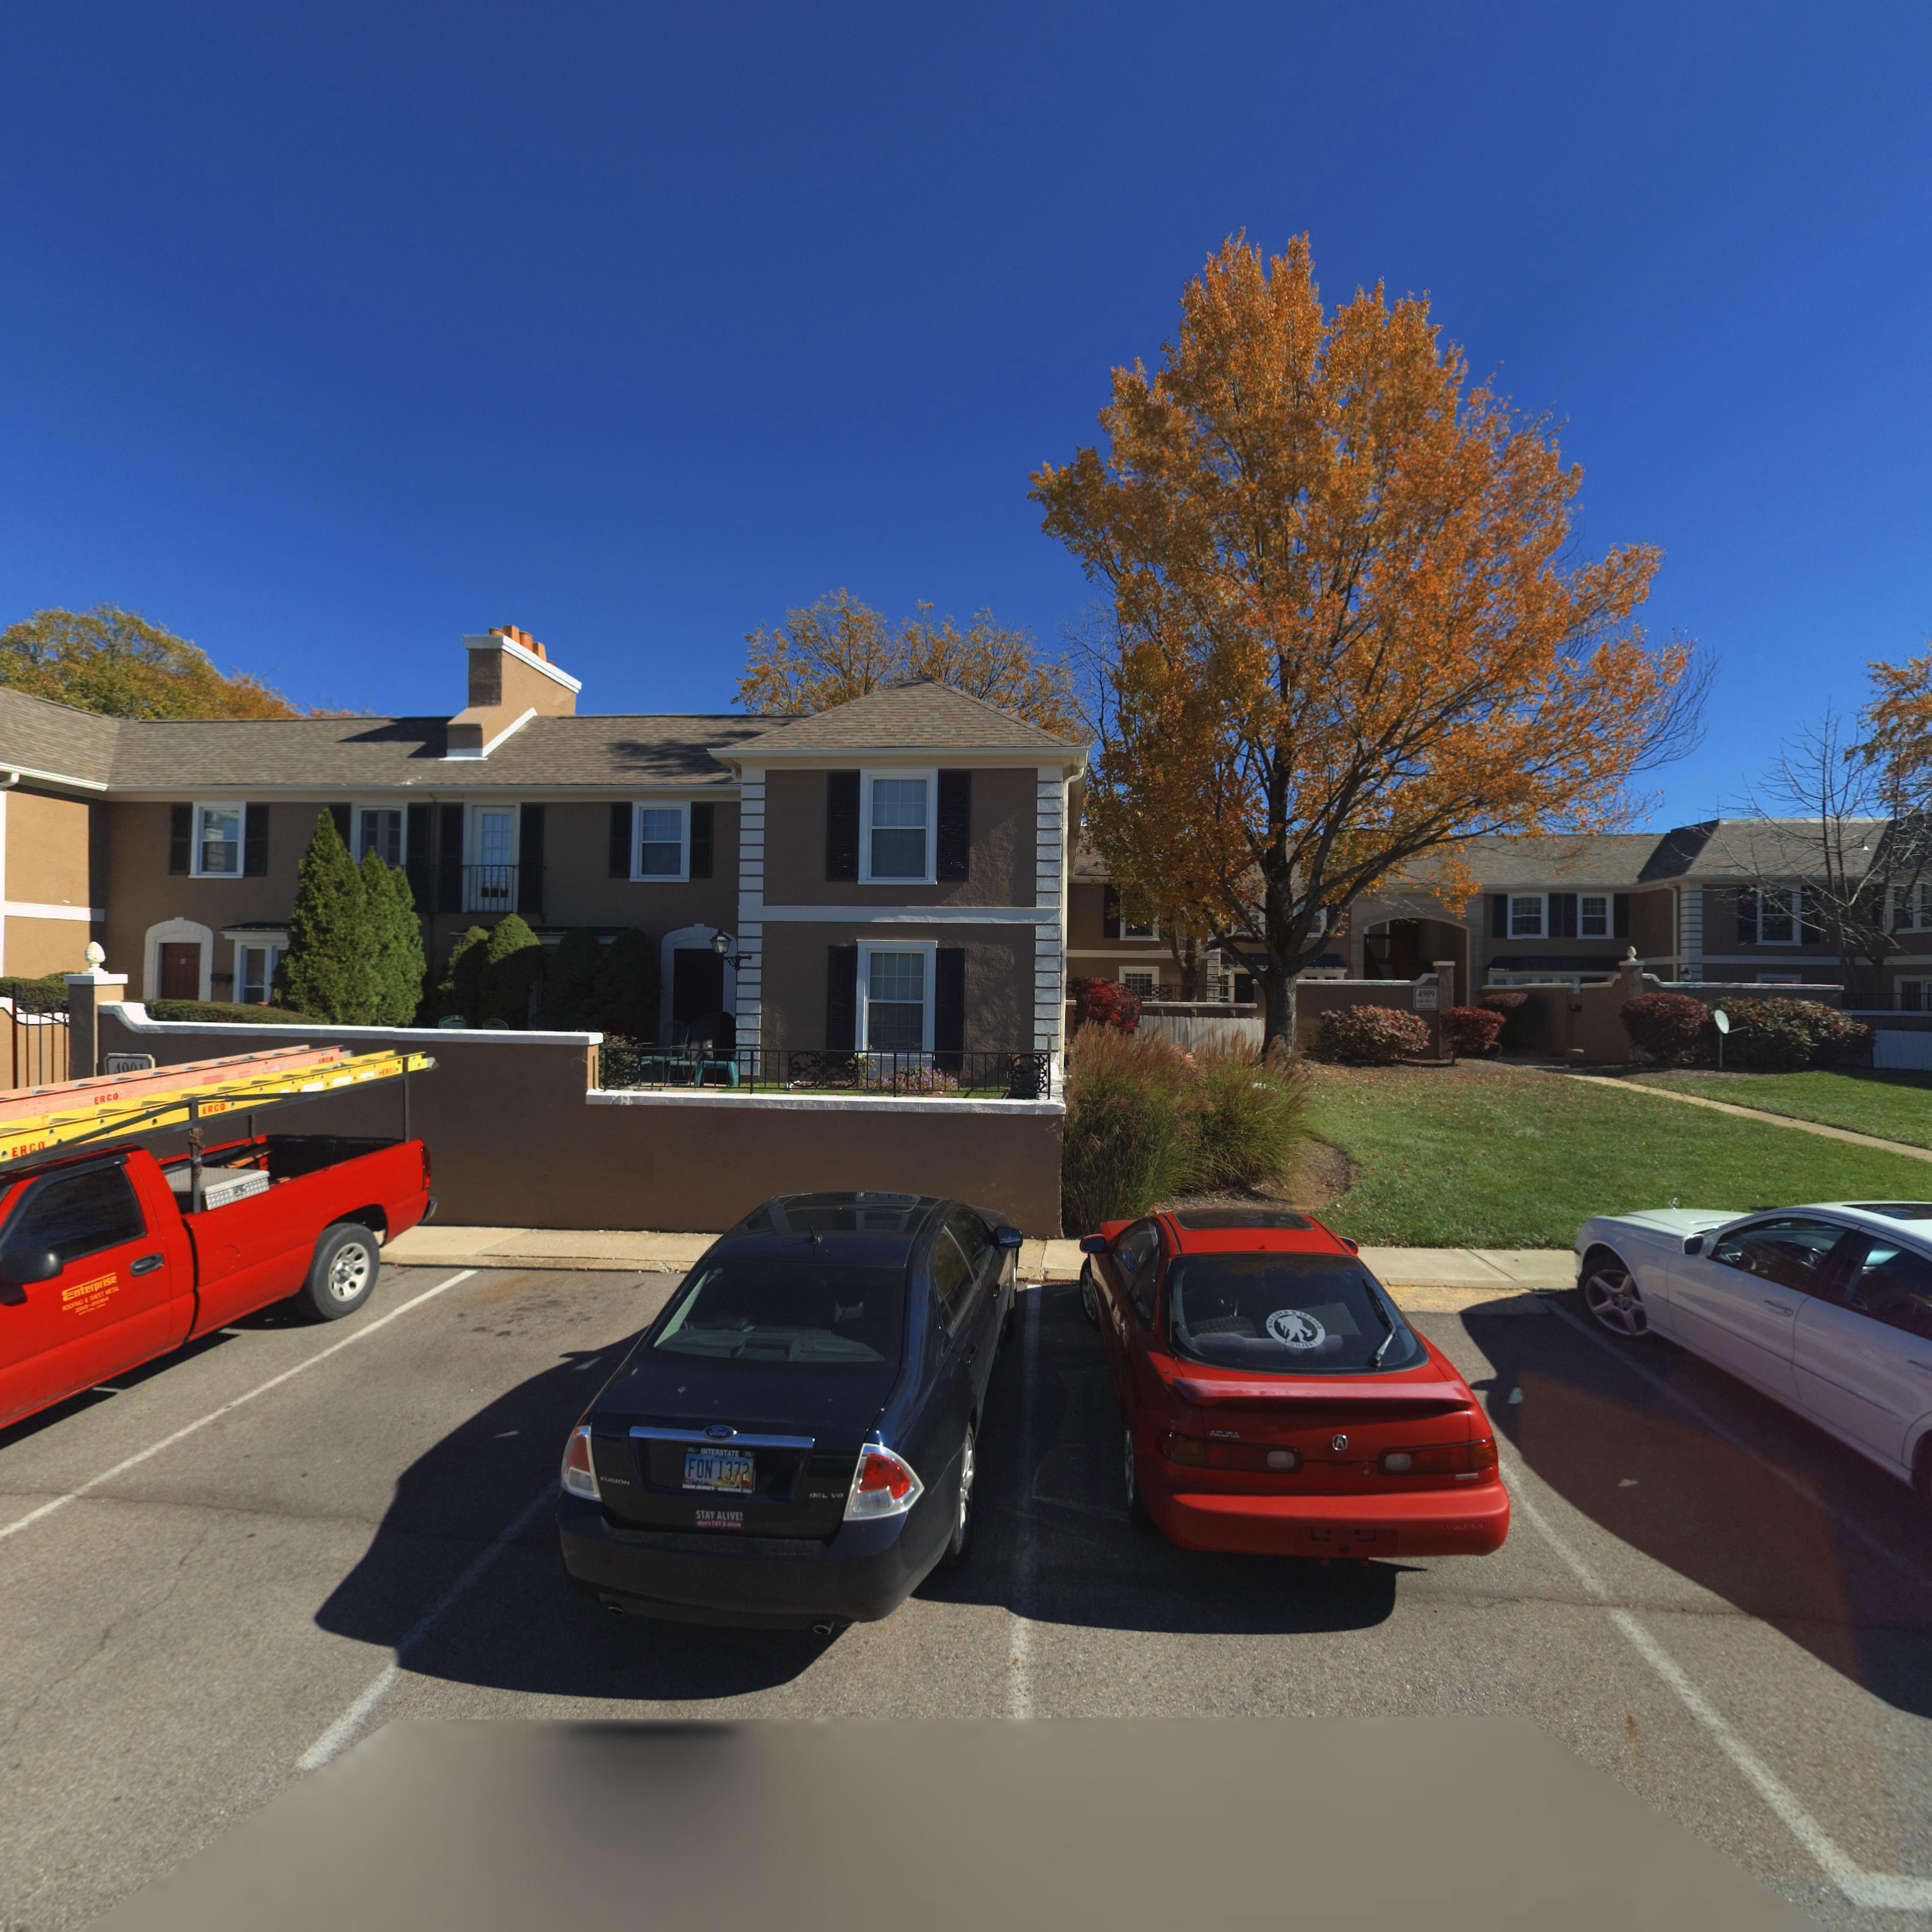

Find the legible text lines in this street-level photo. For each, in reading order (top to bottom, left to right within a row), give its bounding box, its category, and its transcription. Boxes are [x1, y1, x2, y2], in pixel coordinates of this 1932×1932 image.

[1417, 989, 1435, 998] StreetNumber: 4909